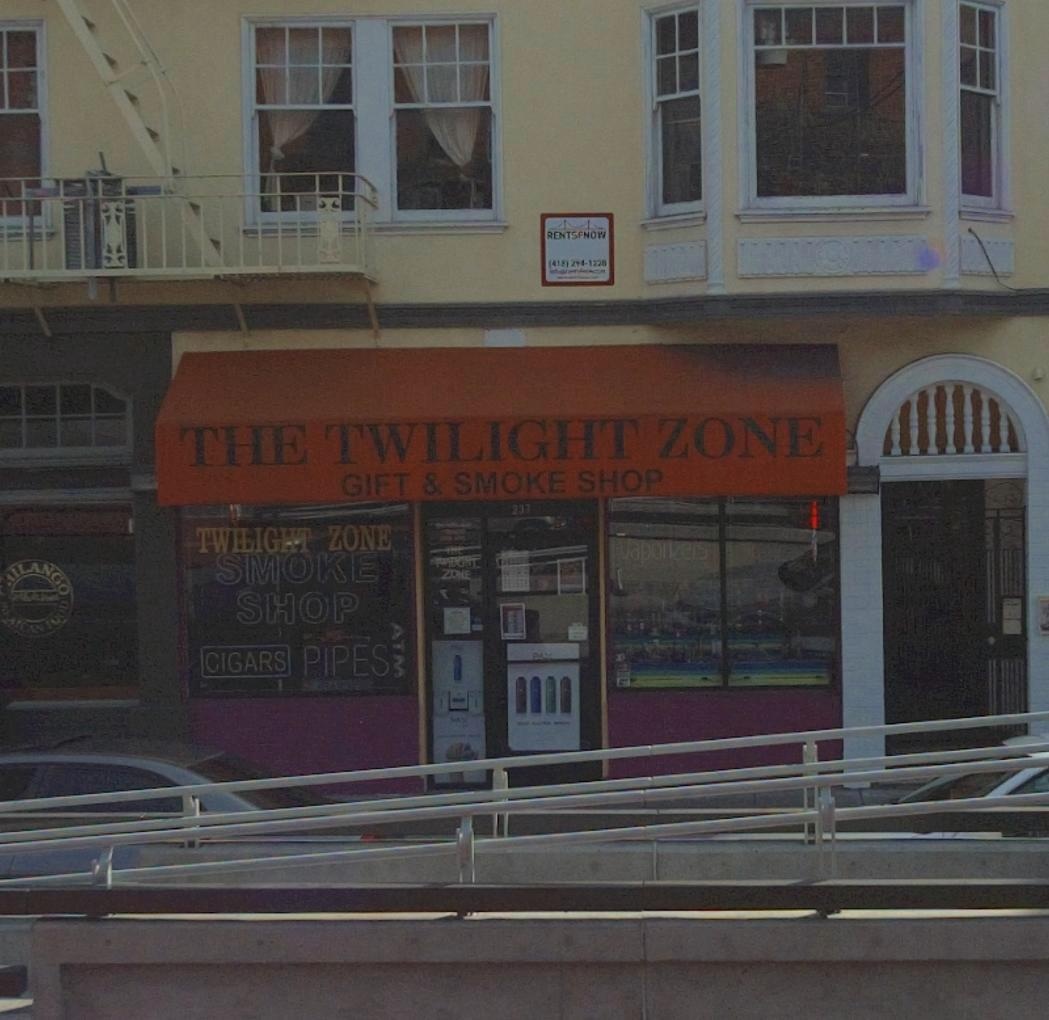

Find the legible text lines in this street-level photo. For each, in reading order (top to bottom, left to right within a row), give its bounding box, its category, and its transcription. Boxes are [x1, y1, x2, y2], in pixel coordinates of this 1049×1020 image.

[545, 228, 609, 242] None: RENTSFNOW
[173, 410, 835, 473] BusinessName: THE TWILIGHT ZONE
[336, 463, 668, 503] None: GIFT & SMOKE SHOP
[510, 502, 532, 517] StreetNumber: 237
[5, 558, 72, 598] None: ILANGO
[193, 520, 395, 556] BusinessName: TWILIGHT ZONE
[213, 549, 383, 589] None: SMOKE
[438, 566, 473, 583] BusinessName: ZONE
[615, 532, 712, 570] None: vaporizers
[233, 587, 363, 628] None: SHOP
[201, 647, 289, 677] None: CIGARS
[301, 640, 392, 680] None: PIPES
[387, 619, 409, 681] None: ATM